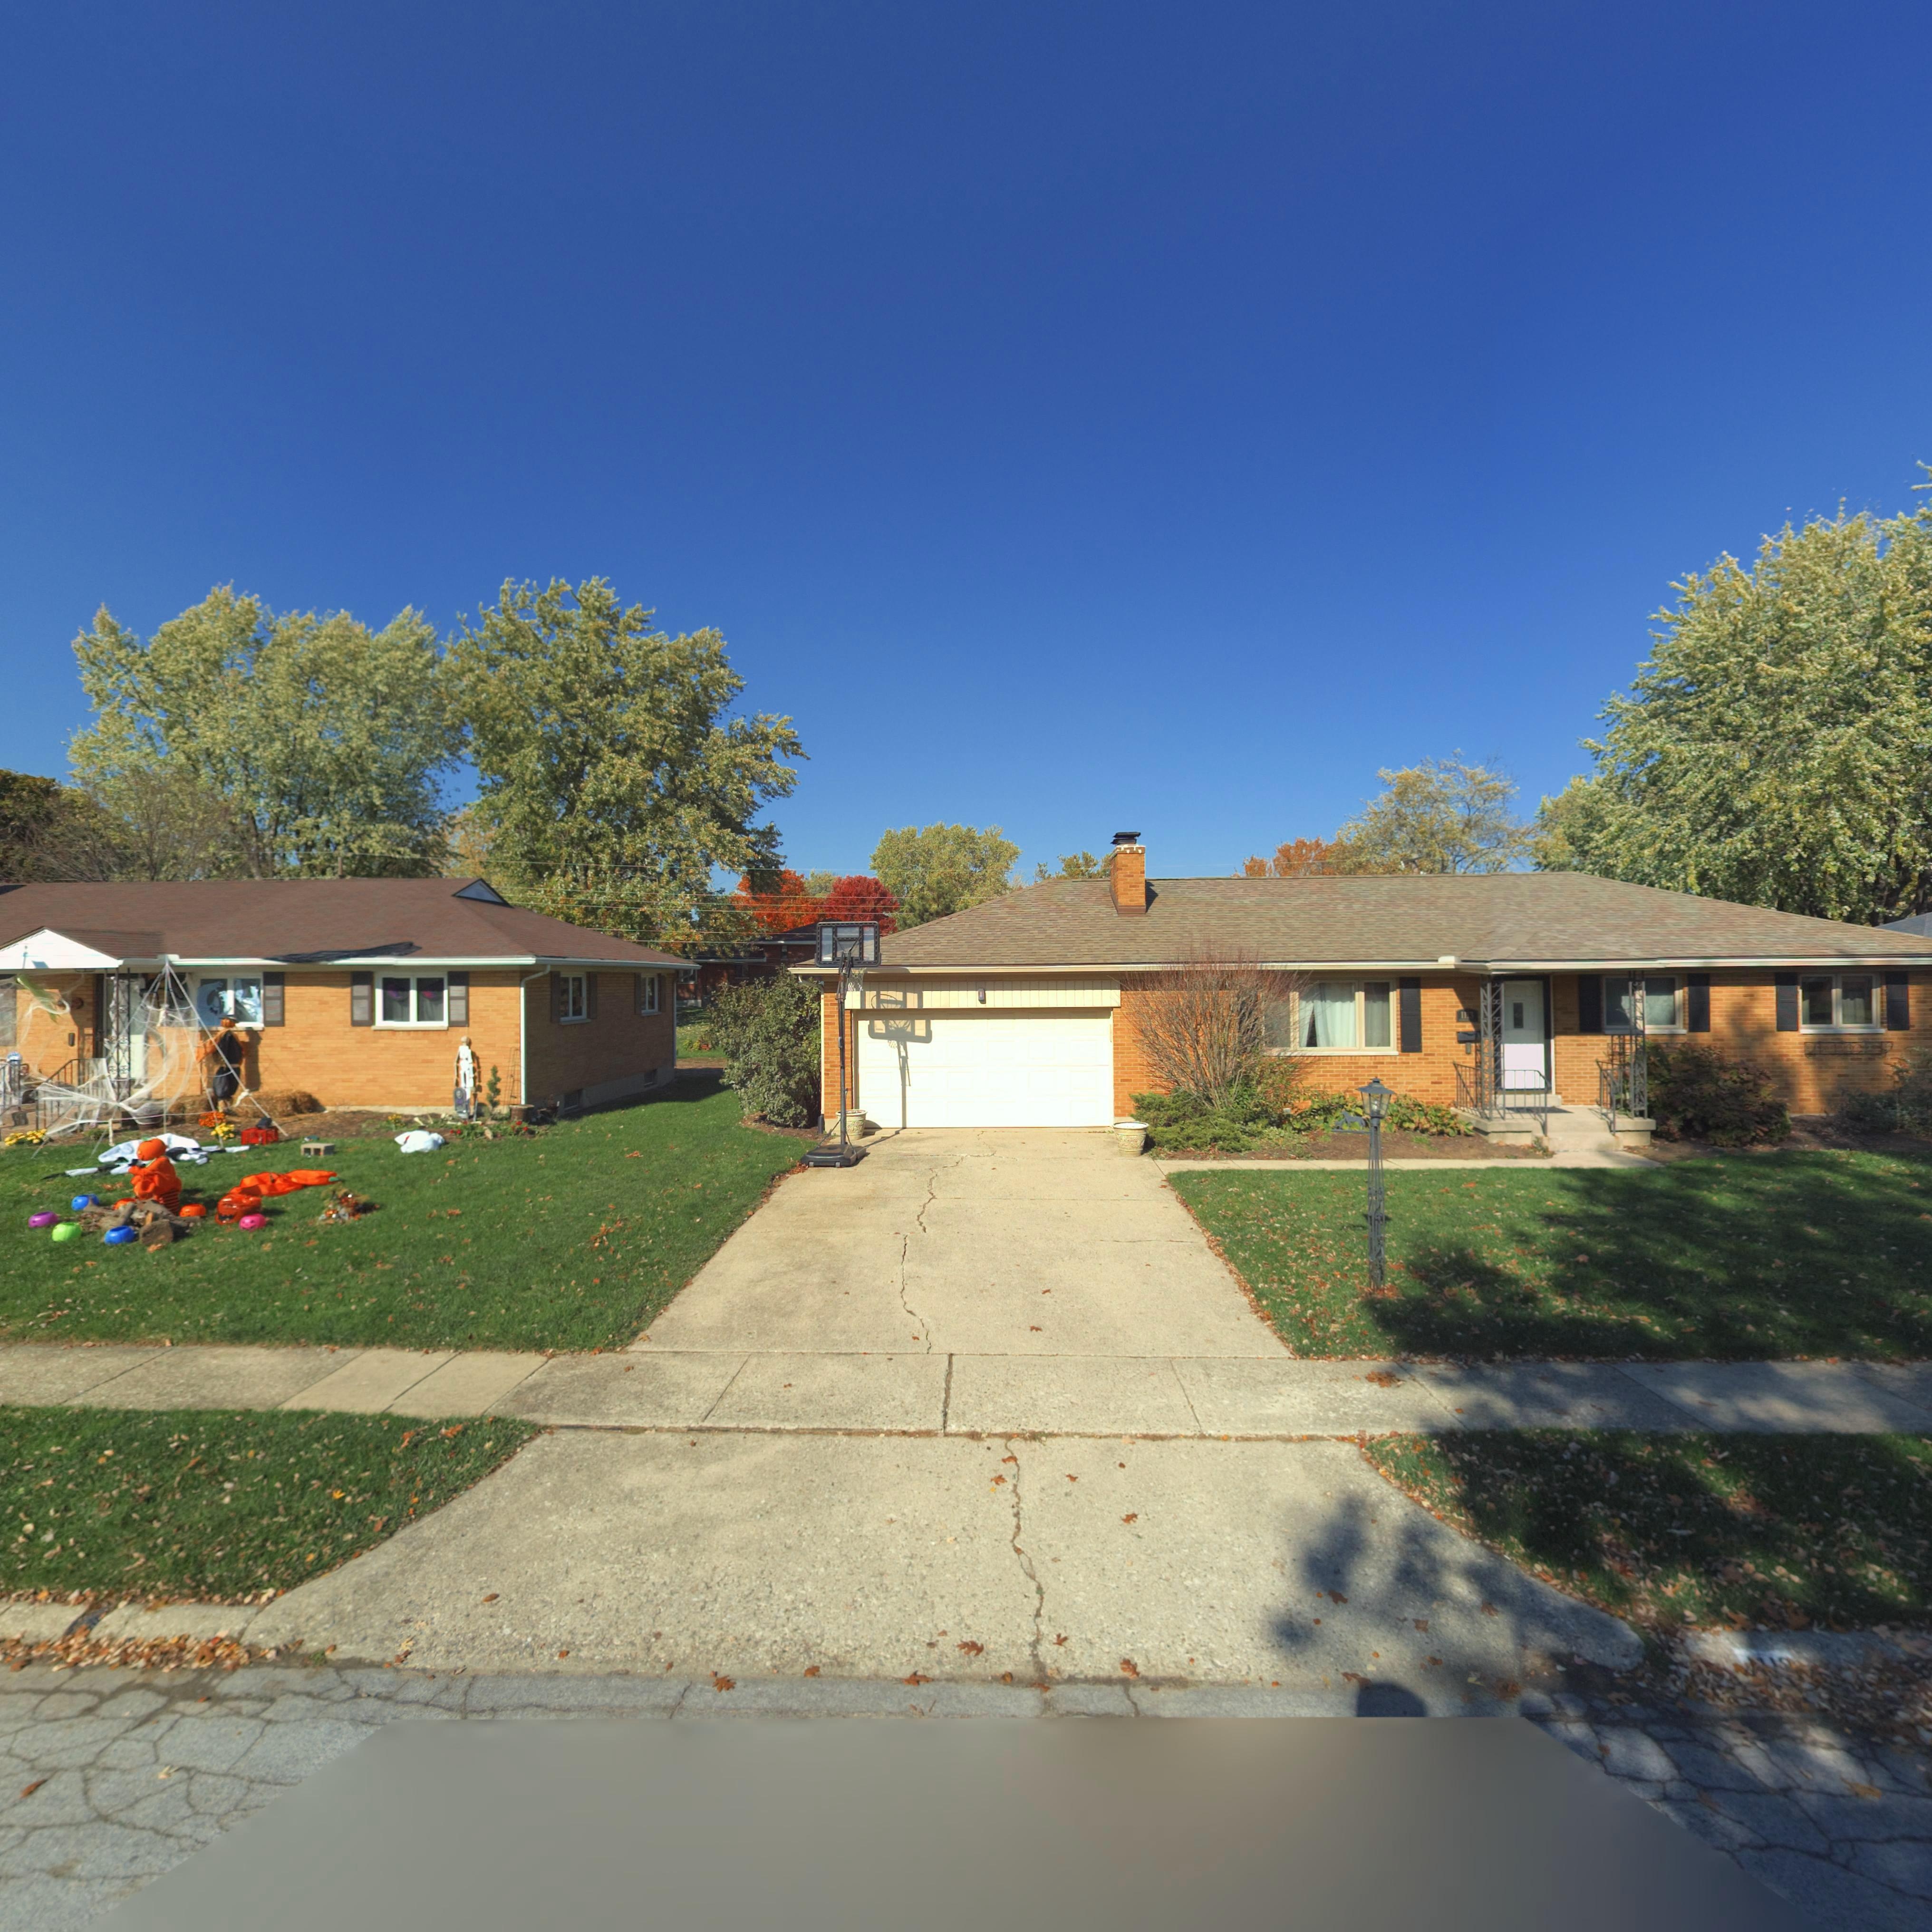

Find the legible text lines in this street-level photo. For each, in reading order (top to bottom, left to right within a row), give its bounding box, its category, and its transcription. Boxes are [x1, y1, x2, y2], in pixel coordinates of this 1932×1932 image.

[1460, 1011, 1474, 1020] StreetNumber: 1113